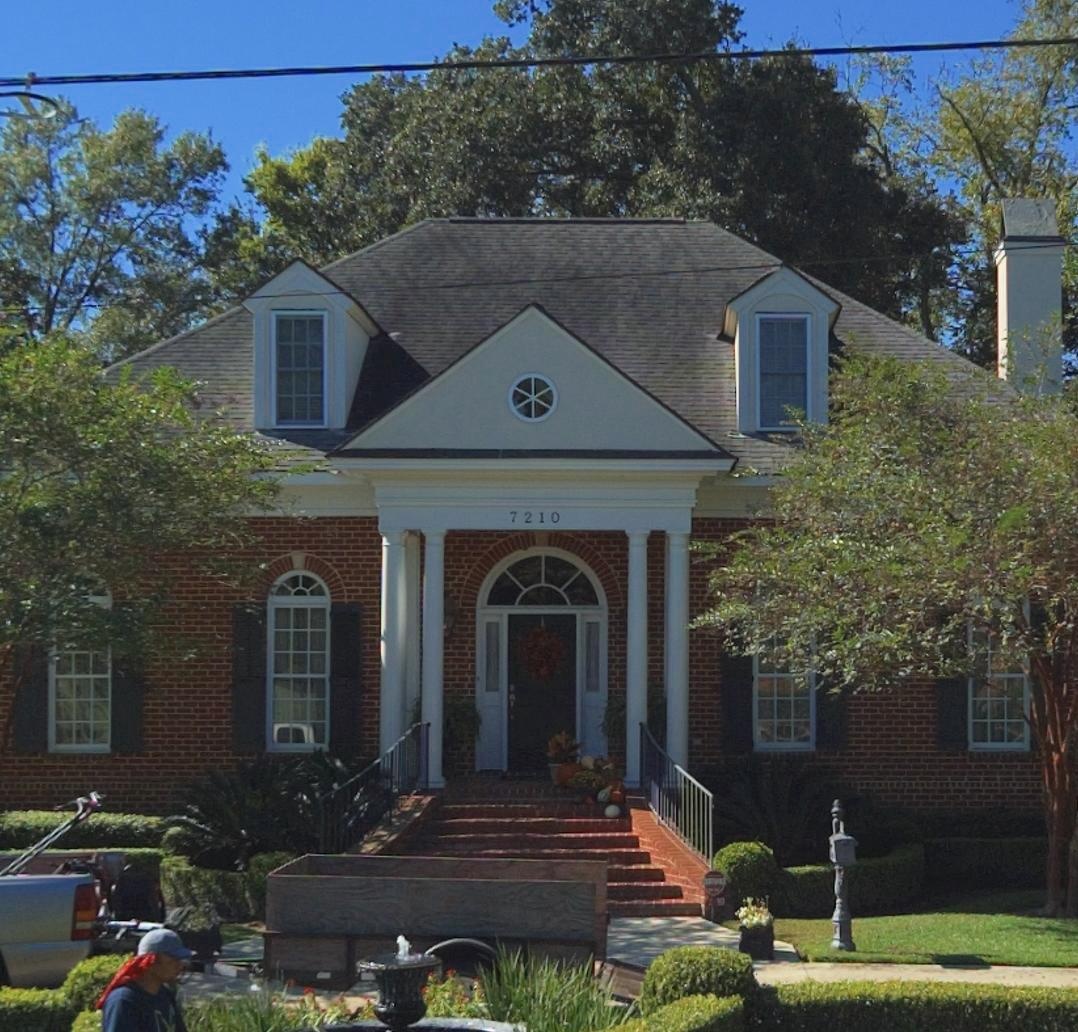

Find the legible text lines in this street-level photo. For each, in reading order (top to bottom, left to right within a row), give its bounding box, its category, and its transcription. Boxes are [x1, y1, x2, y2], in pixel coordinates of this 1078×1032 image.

[510, 510, 560, 524] StreetNumber: 7210